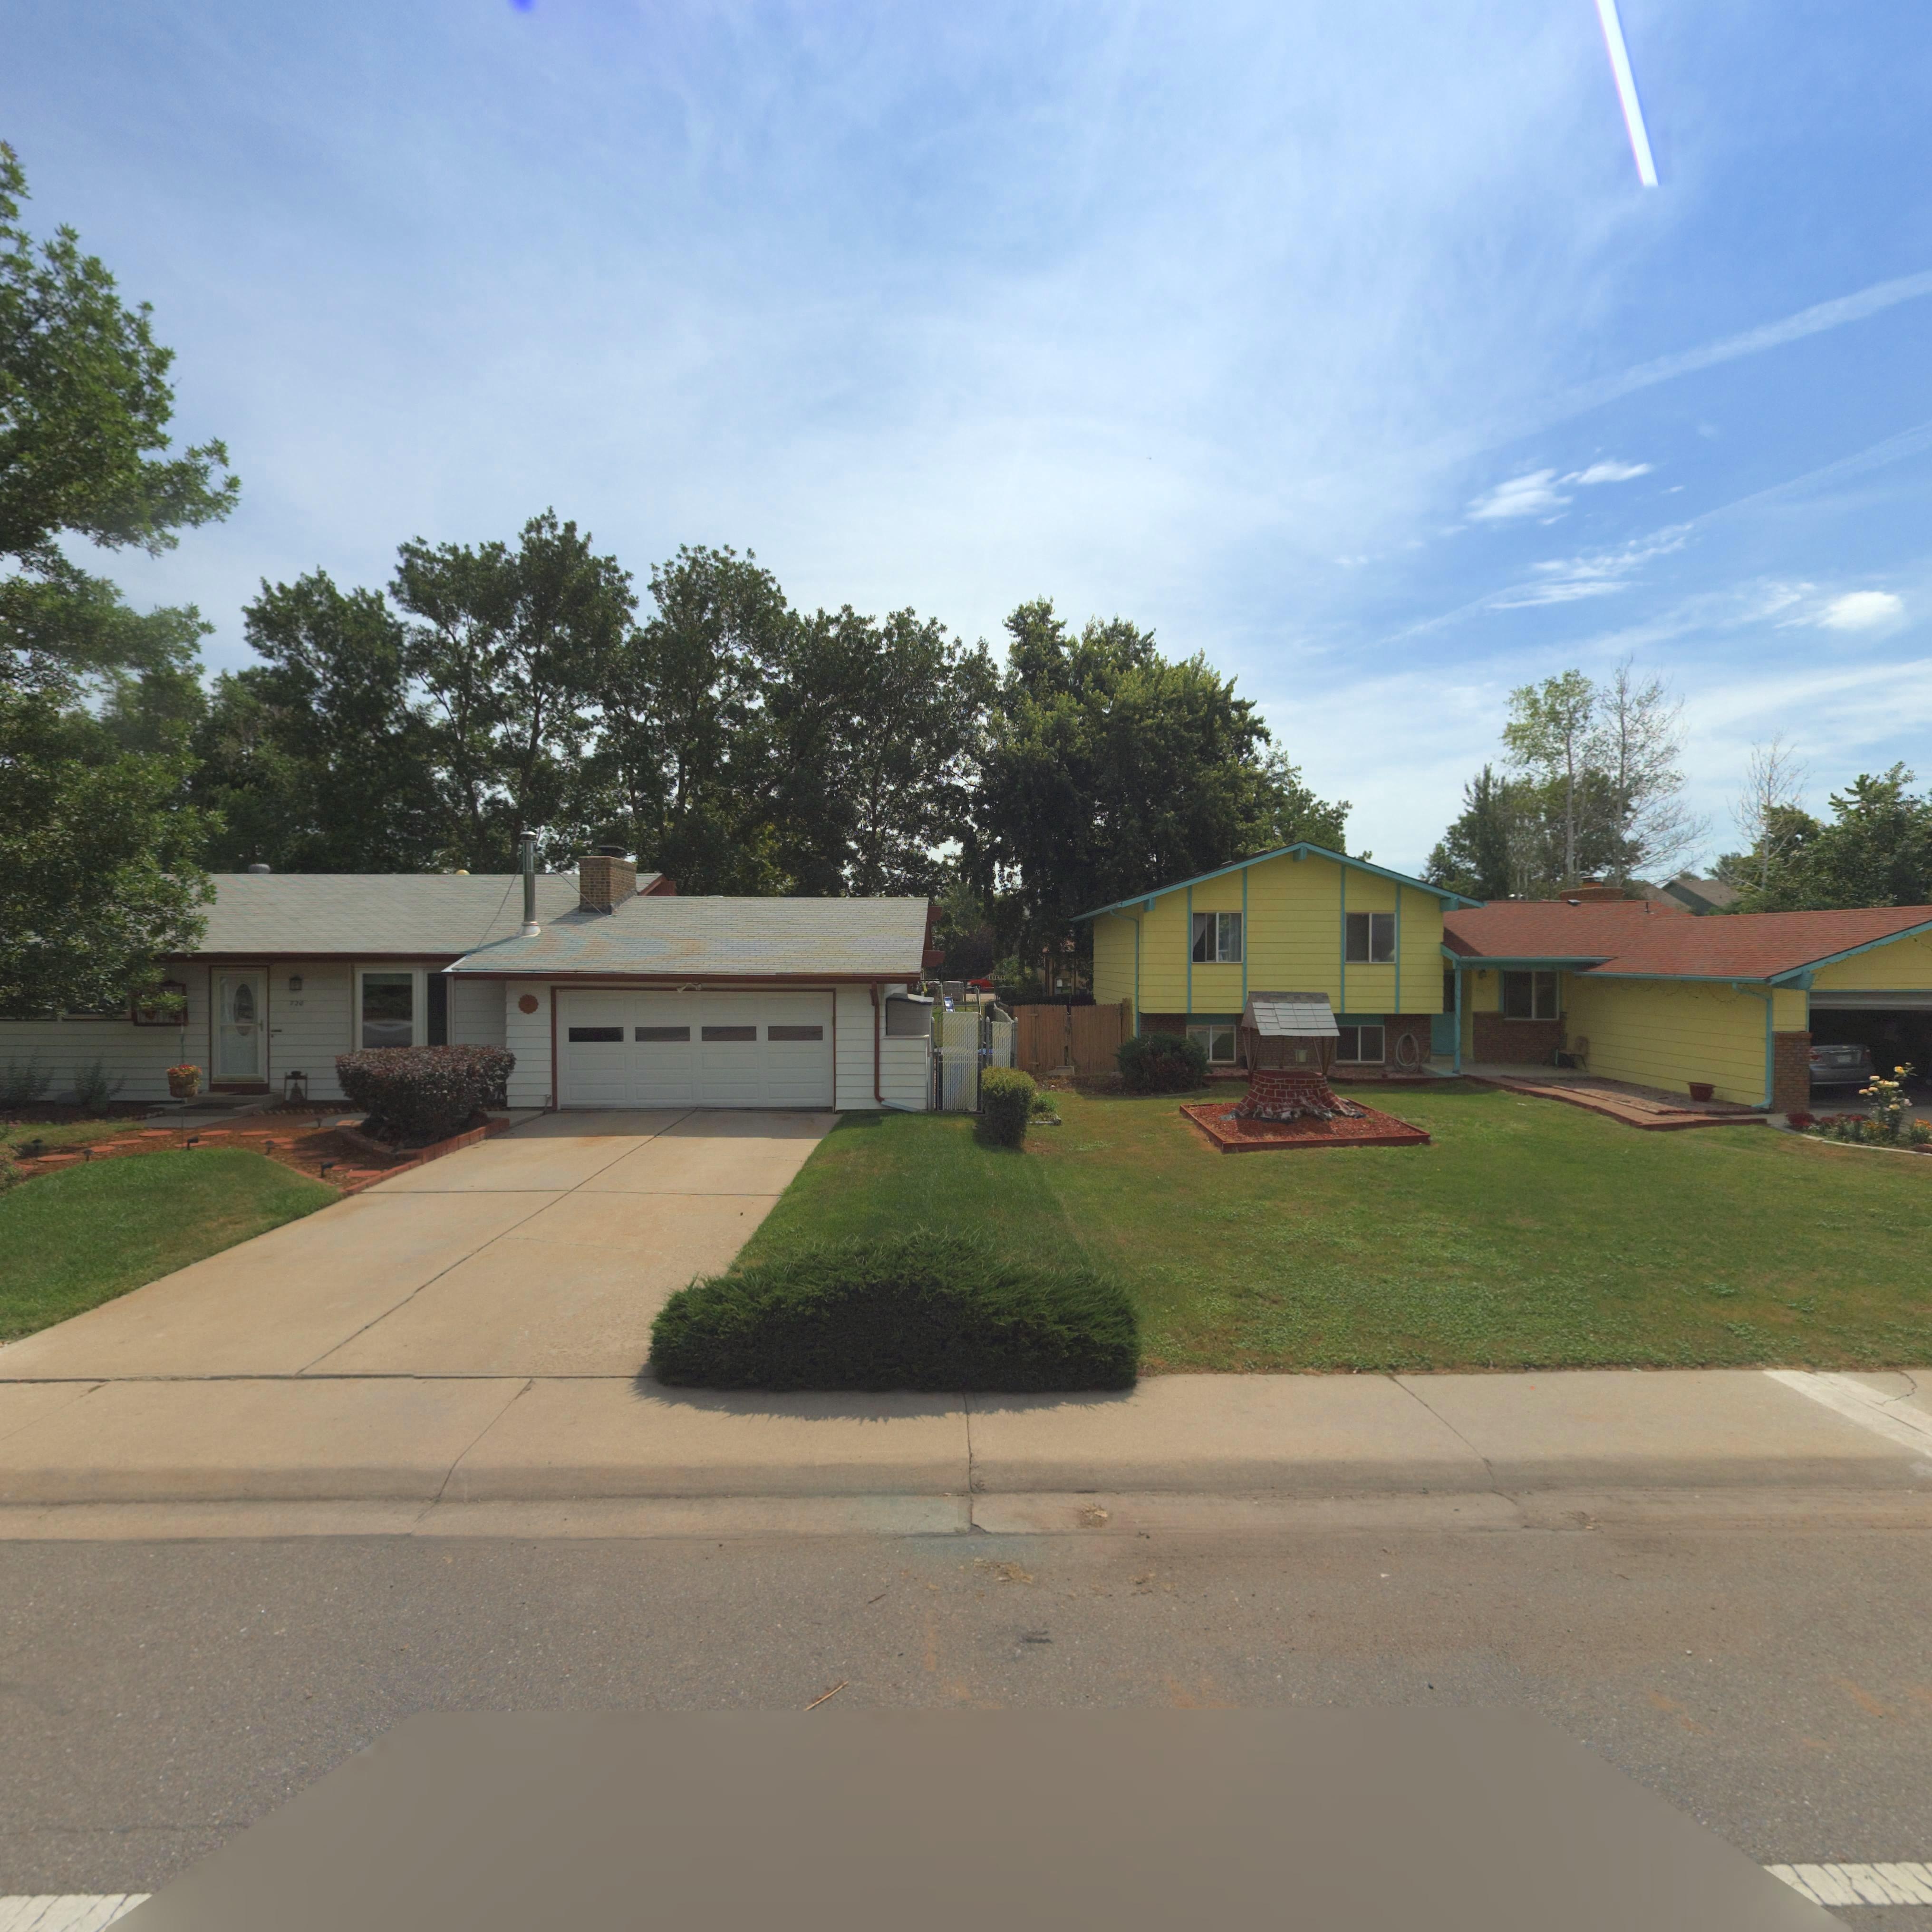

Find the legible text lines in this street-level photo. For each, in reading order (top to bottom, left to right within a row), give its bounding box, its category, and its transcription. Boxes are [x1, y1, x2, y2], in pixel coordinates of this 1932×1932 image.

[289, 1000, 304, 1005] StreetNumber: 720